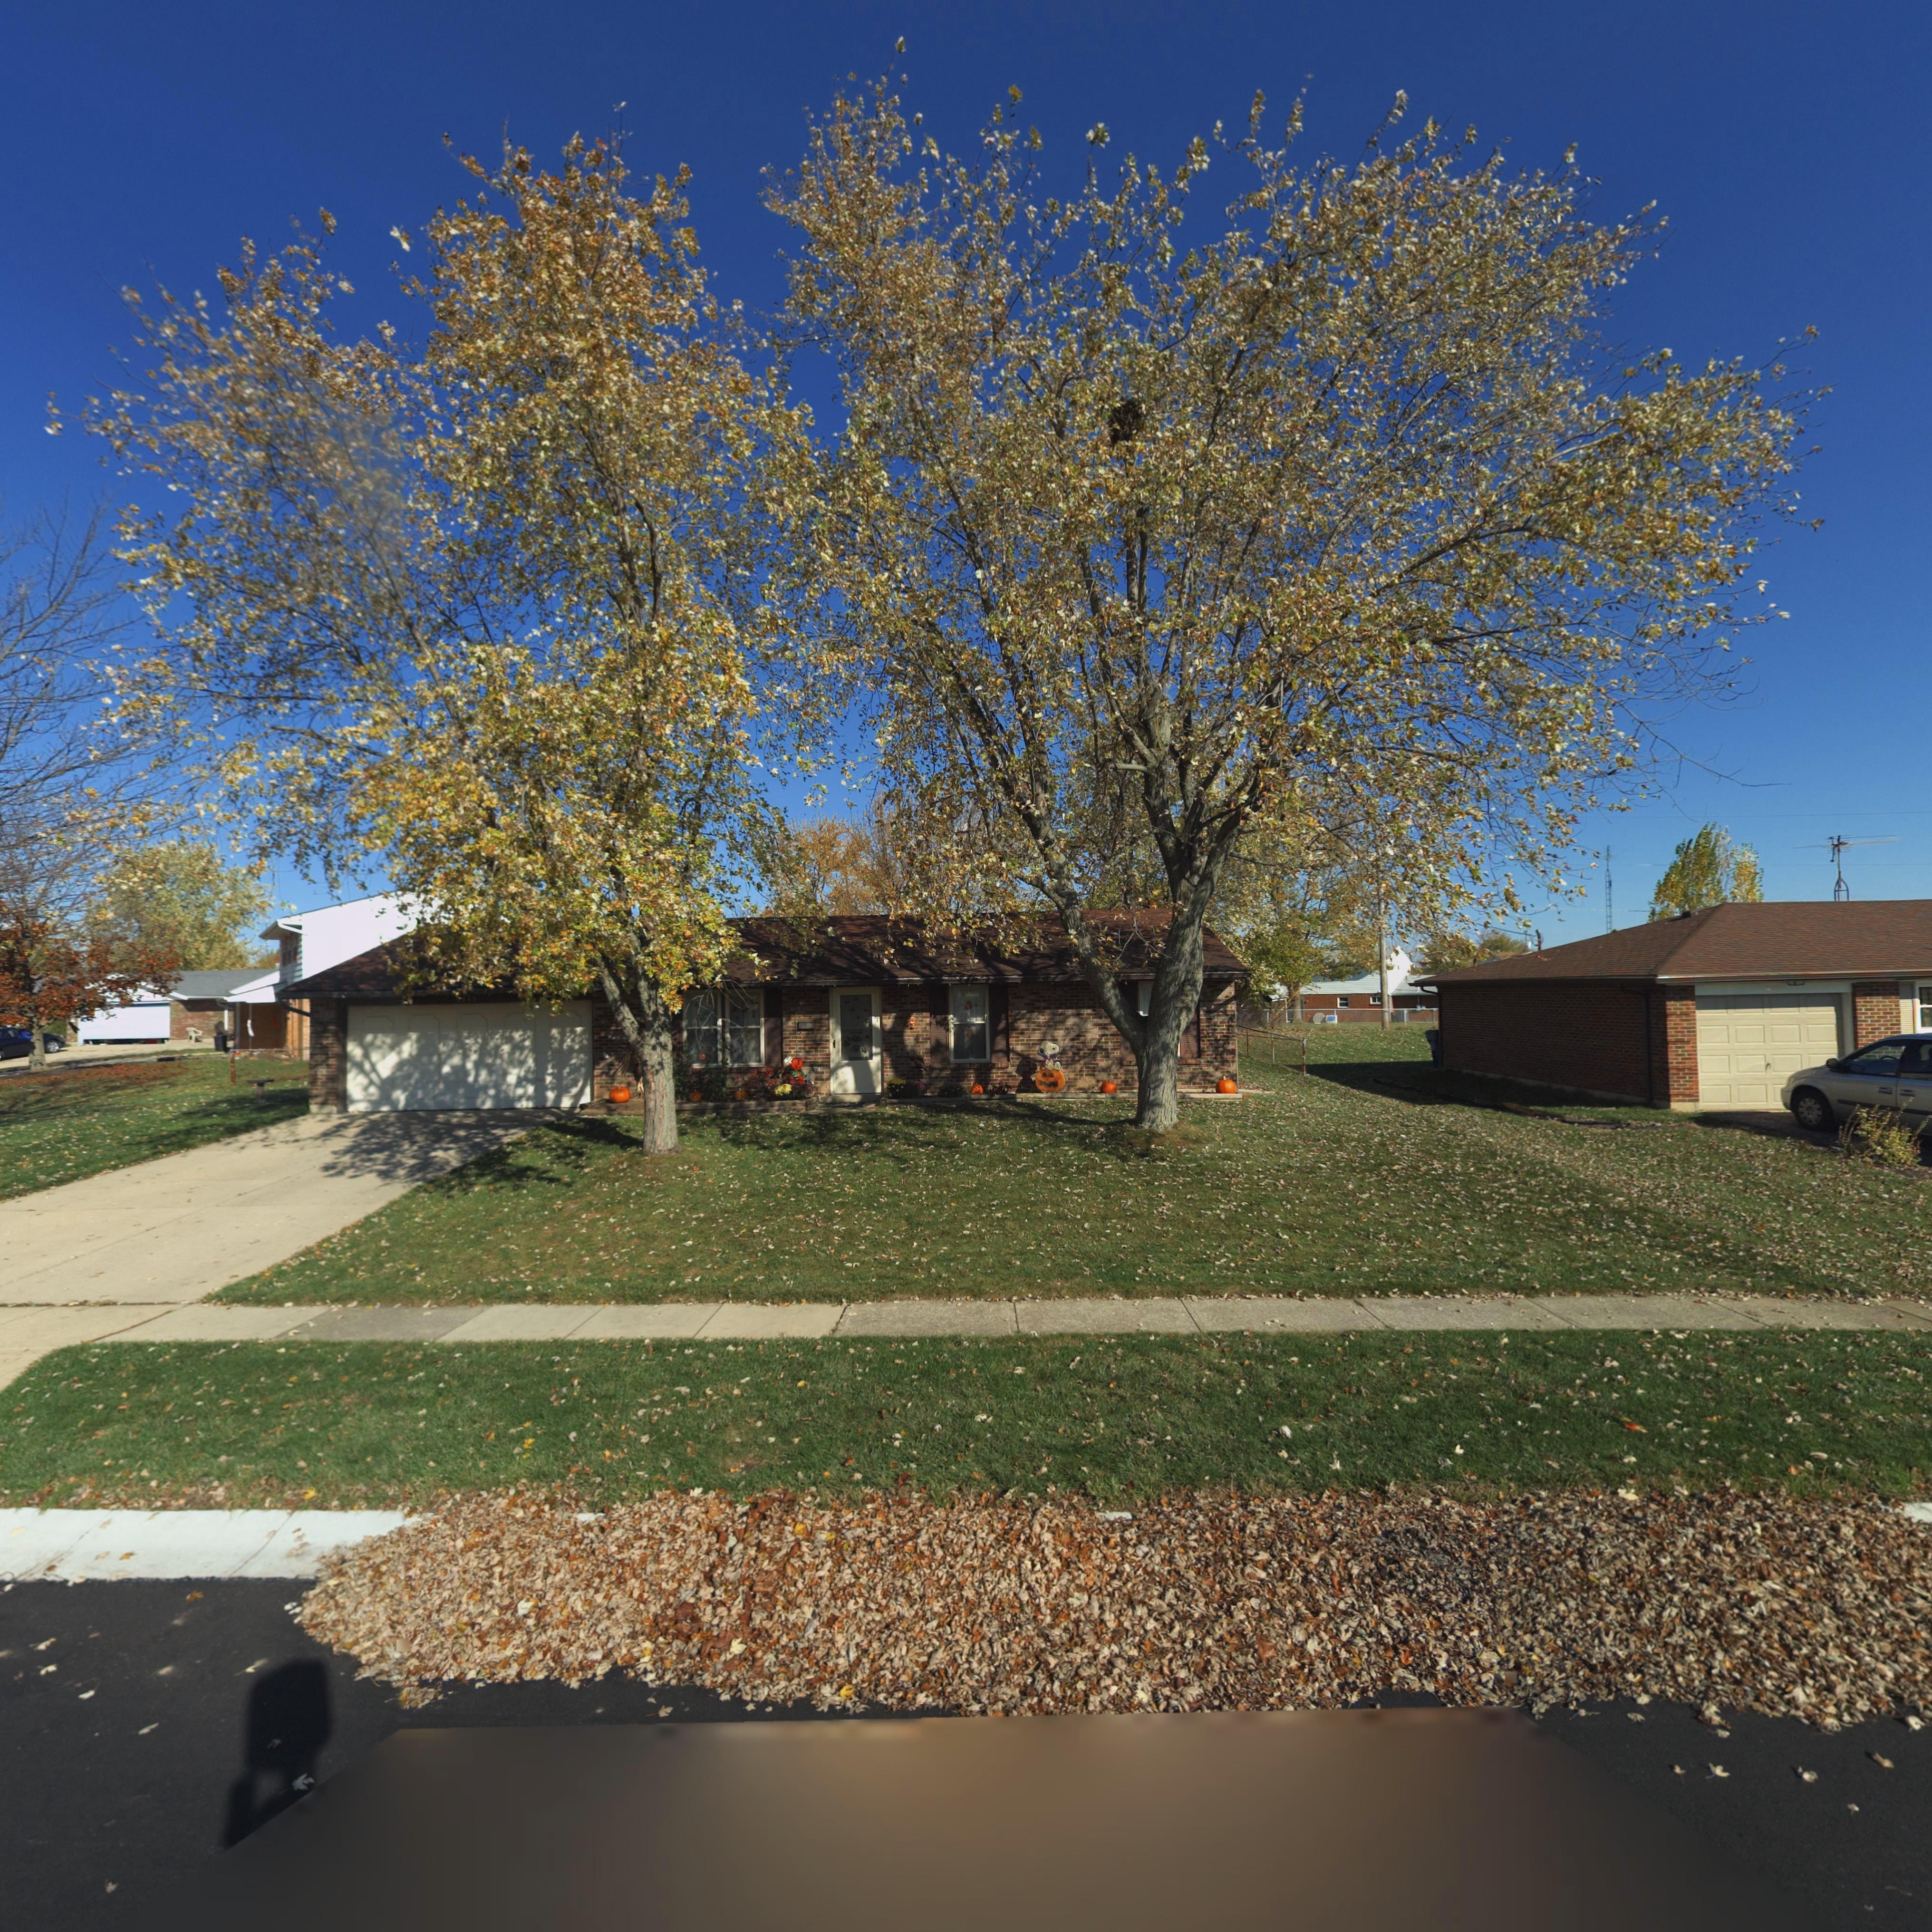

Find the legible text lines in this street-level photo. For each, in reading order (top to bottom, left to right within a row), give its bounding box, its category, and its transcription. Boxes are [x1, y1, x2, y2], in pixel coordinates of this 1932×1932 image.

[455, 995, 477, 1003] StreetNumber: *939